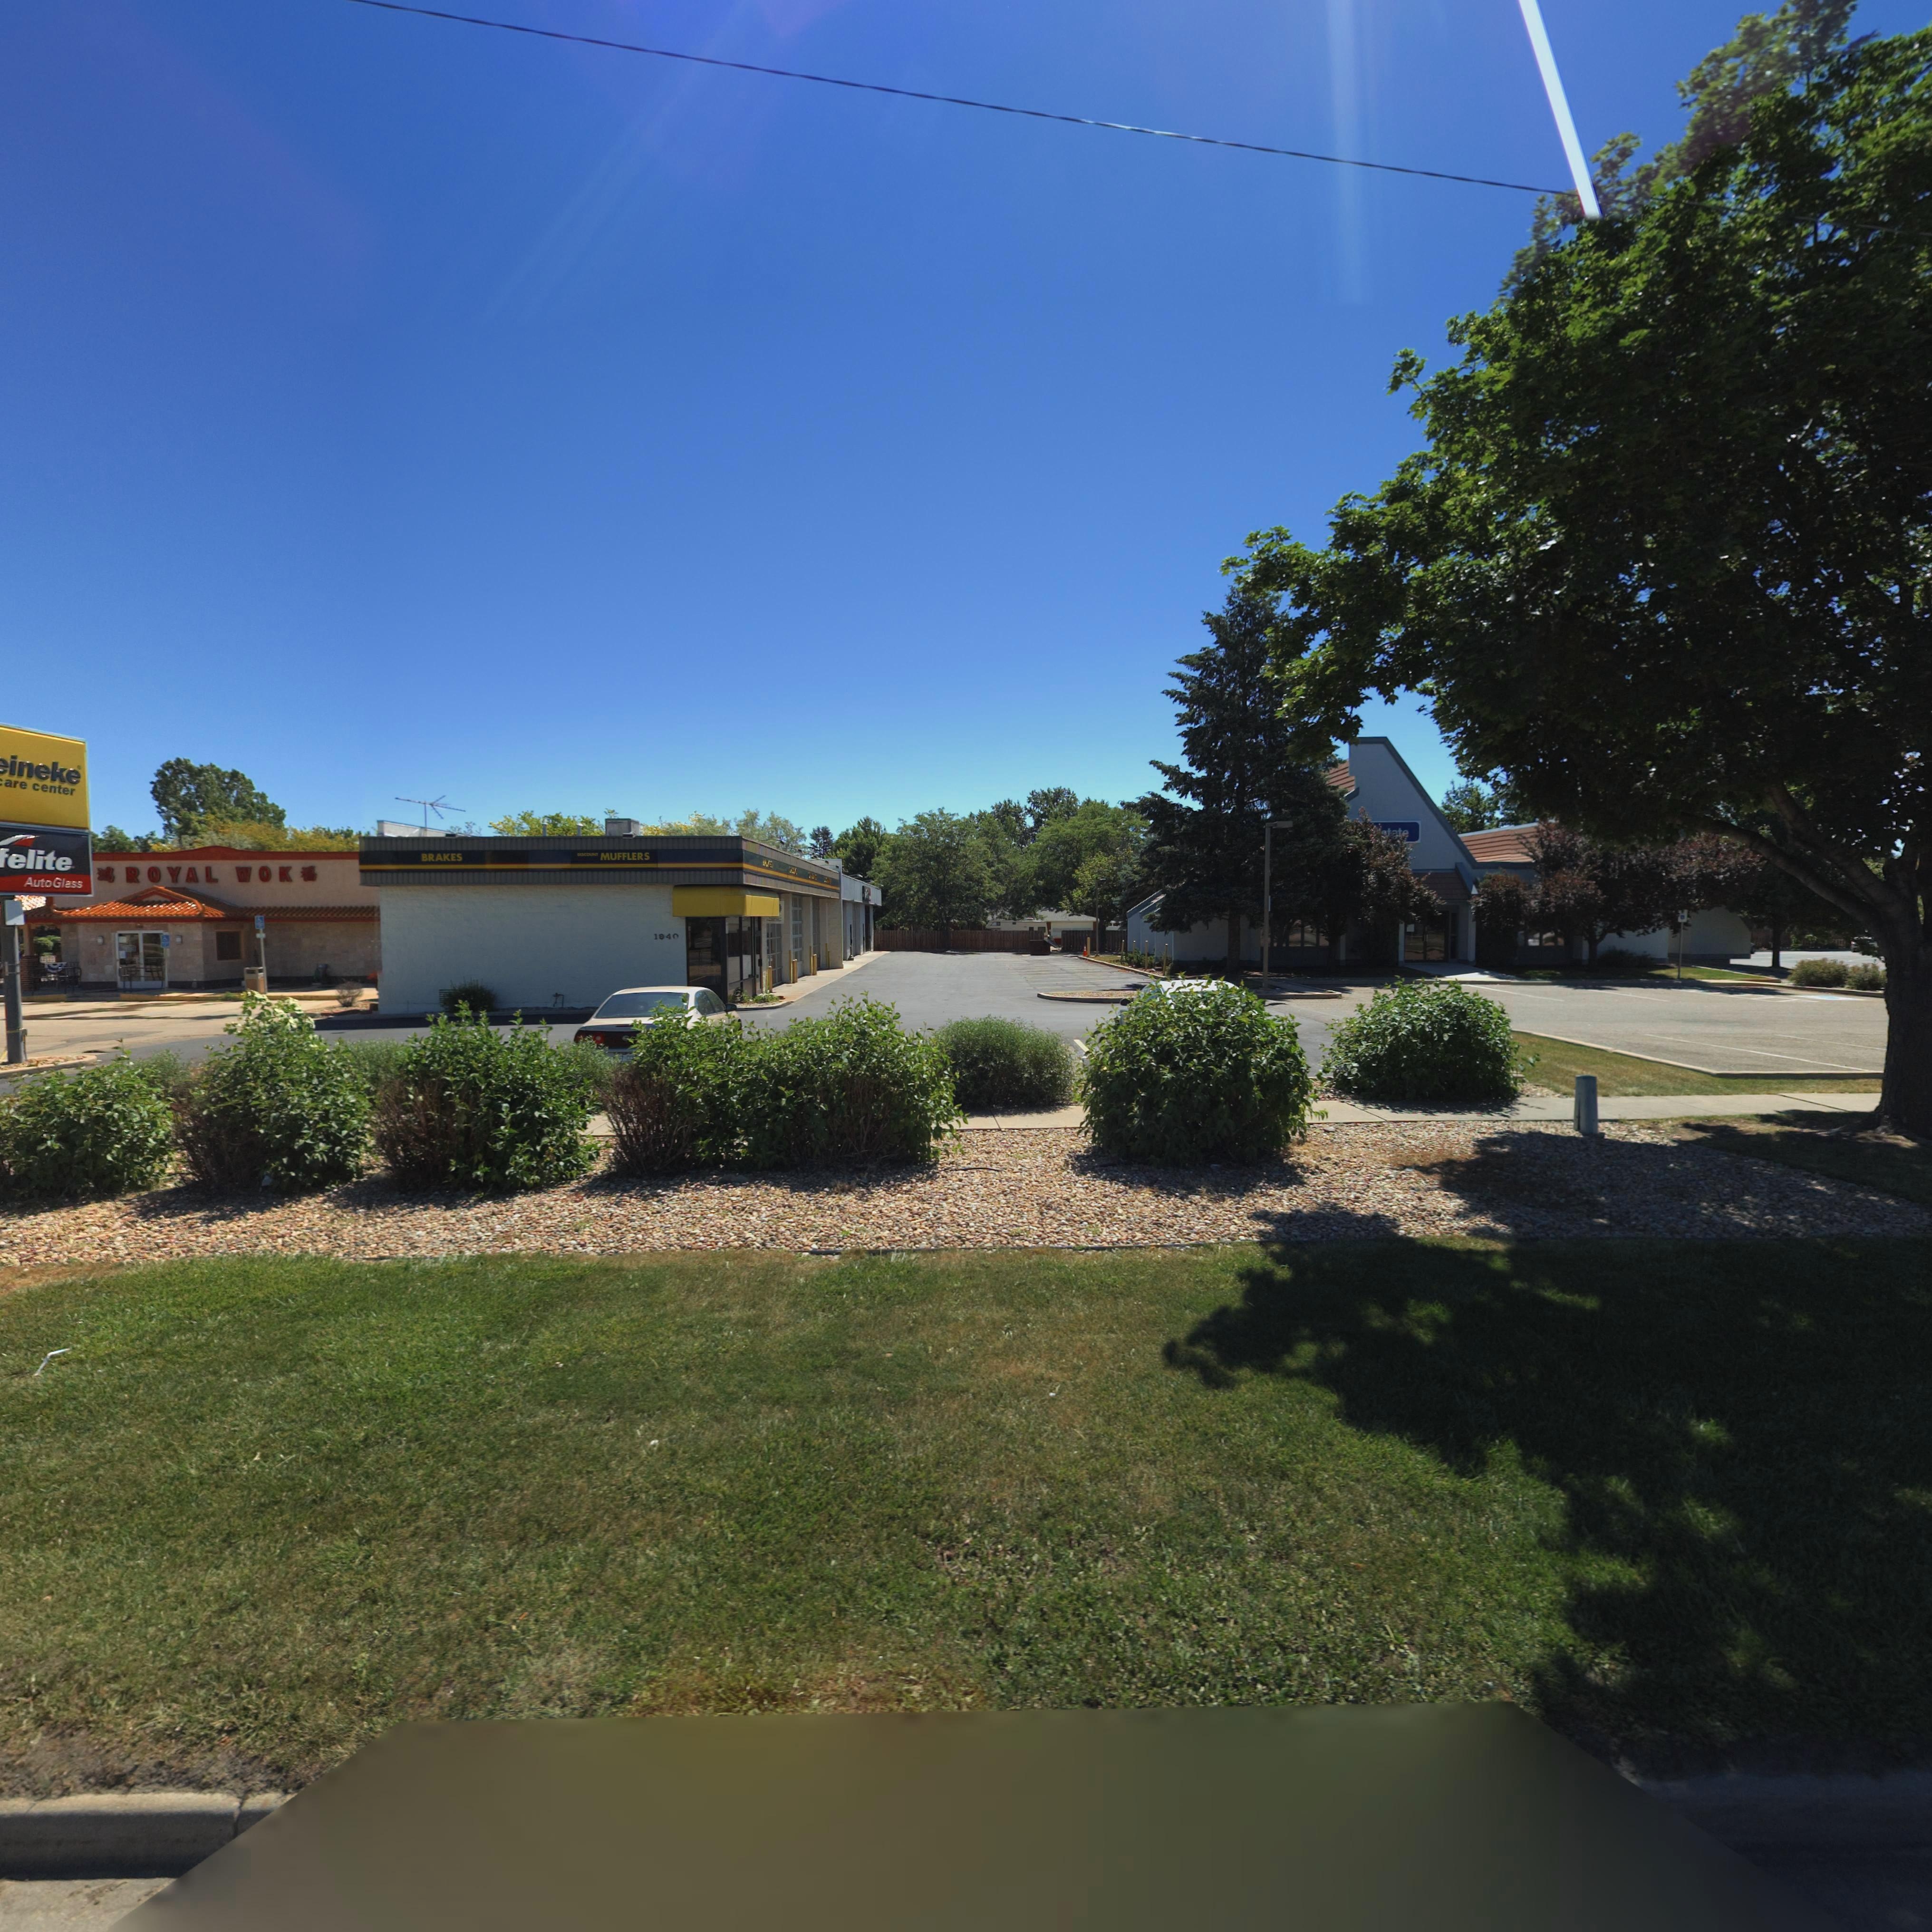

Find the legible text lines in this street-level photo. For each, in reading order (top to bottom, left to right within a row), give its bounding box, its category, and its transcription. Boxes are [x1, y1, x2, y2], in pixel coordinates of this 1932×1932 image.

[8, 753, 81, 785] BusinessName: ineke
[4, 779, 77, 796] BusinessName: are center
[6, 849, 74, 871] BusinessName: elite
[22, 876, 84, 889] BusinessName: AutoGlass
[125, 865, 293, 884] BusinessName: ROYAL WOK
[653, 933, 679, 941] StreetNumber: 1*40